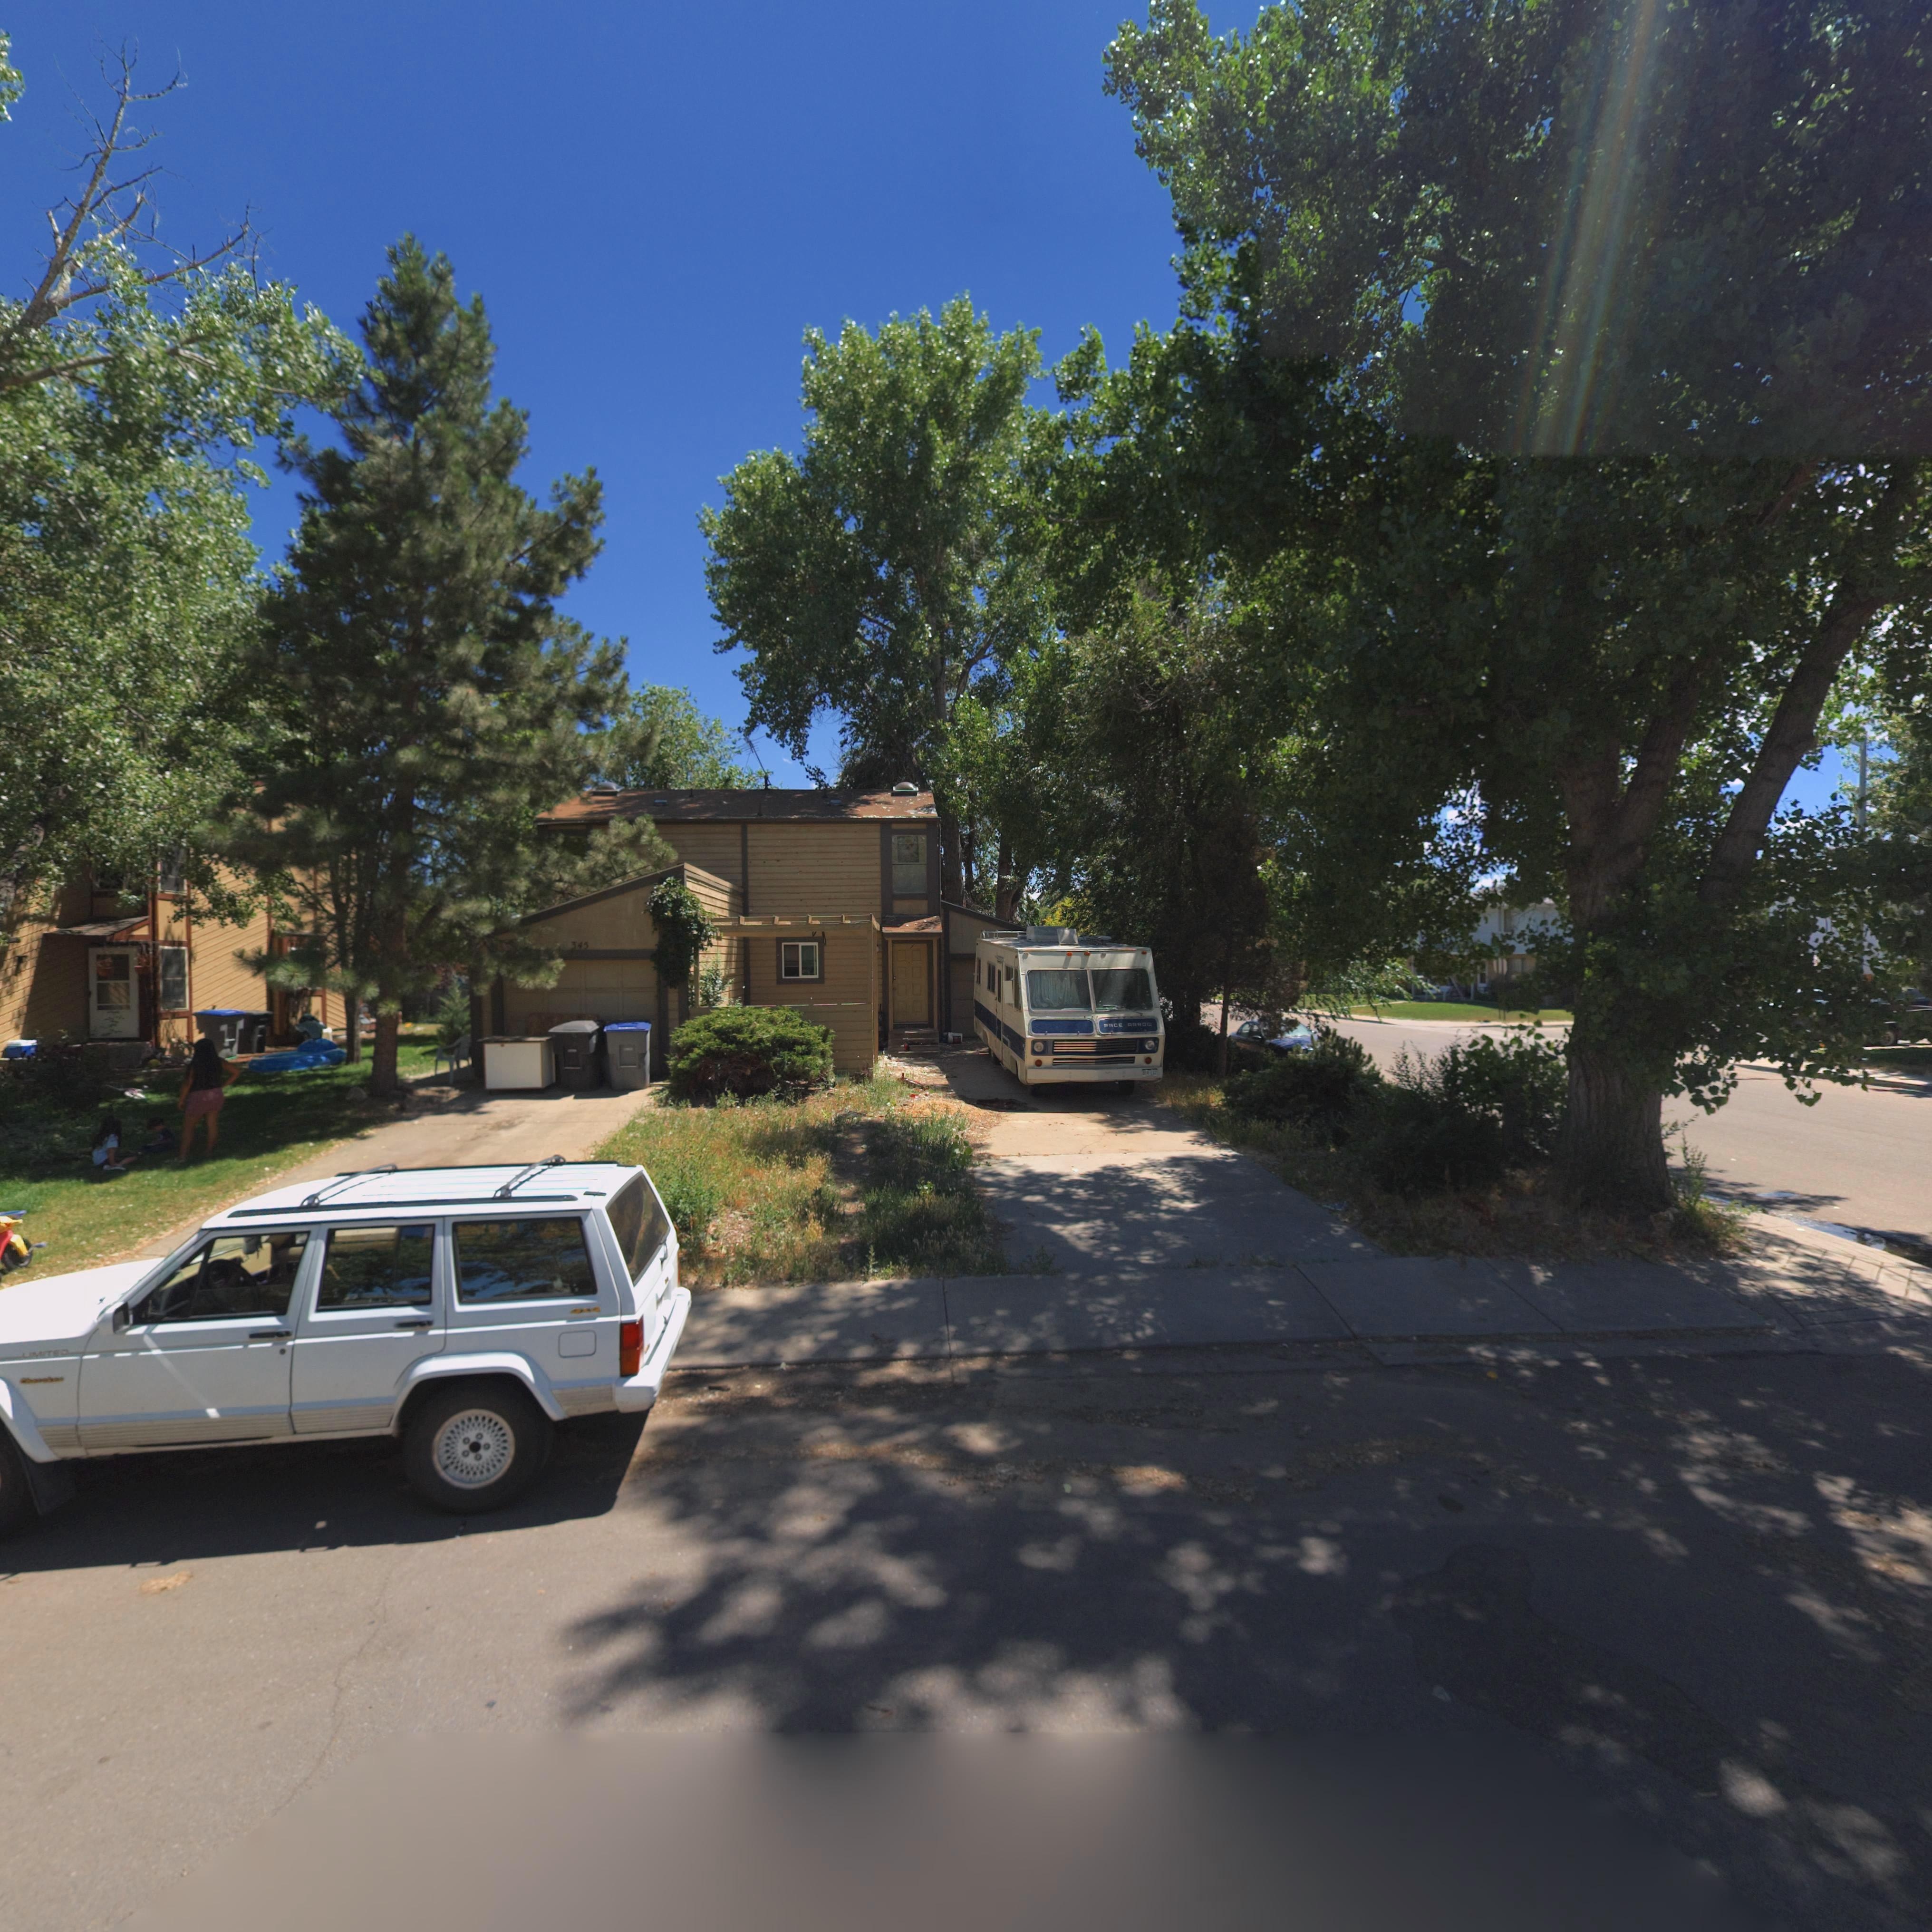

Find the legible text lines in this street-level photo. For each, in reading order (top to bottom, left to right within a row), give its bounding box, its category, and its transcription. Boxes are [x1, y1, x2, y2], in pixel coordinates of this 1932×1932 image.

[570, 940, 589, 950] StreetNumber: 345